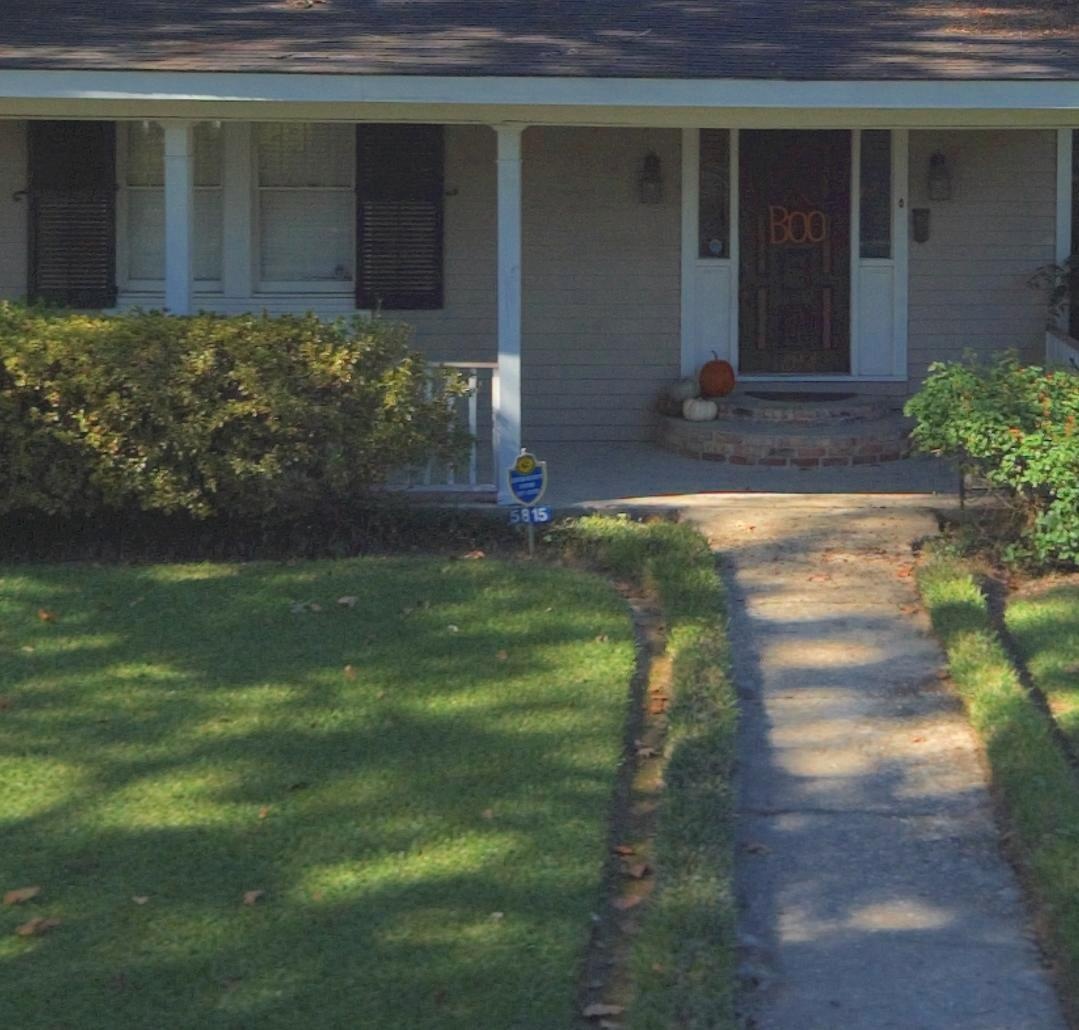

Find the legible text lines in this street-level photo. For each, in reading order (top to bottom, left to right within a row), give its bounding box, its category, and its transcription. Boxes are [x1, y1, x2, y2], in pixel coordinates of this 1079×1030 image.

[768, 203, 827, 246] None: BOO
[508, 506, 550, 525] StreetNumber: 5815